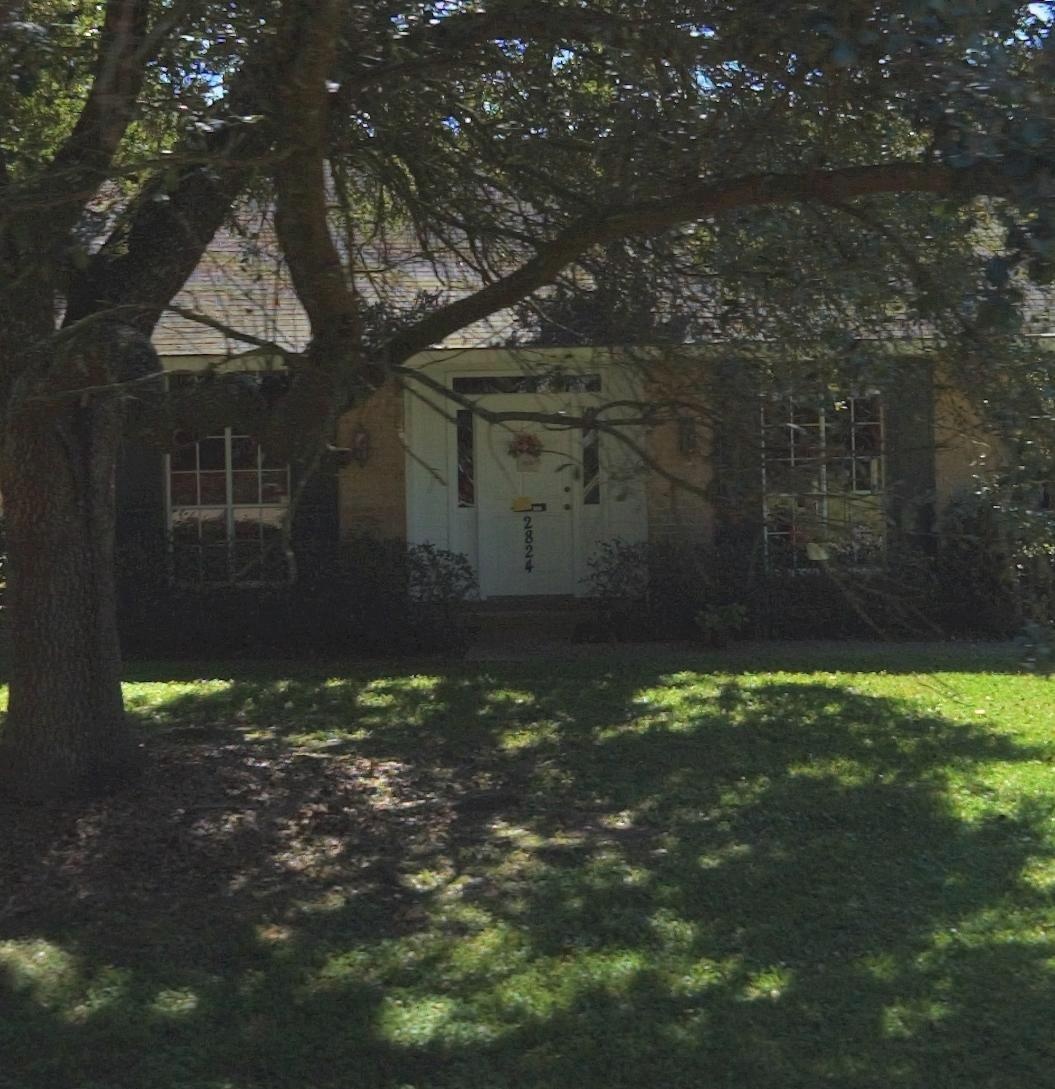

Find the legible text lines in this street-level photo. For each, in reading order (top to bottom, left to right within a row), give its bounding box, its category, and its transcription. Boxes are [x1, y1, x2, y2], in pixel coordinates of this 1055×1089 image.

[522, 514, 536, 575] StreetNumber: 2824